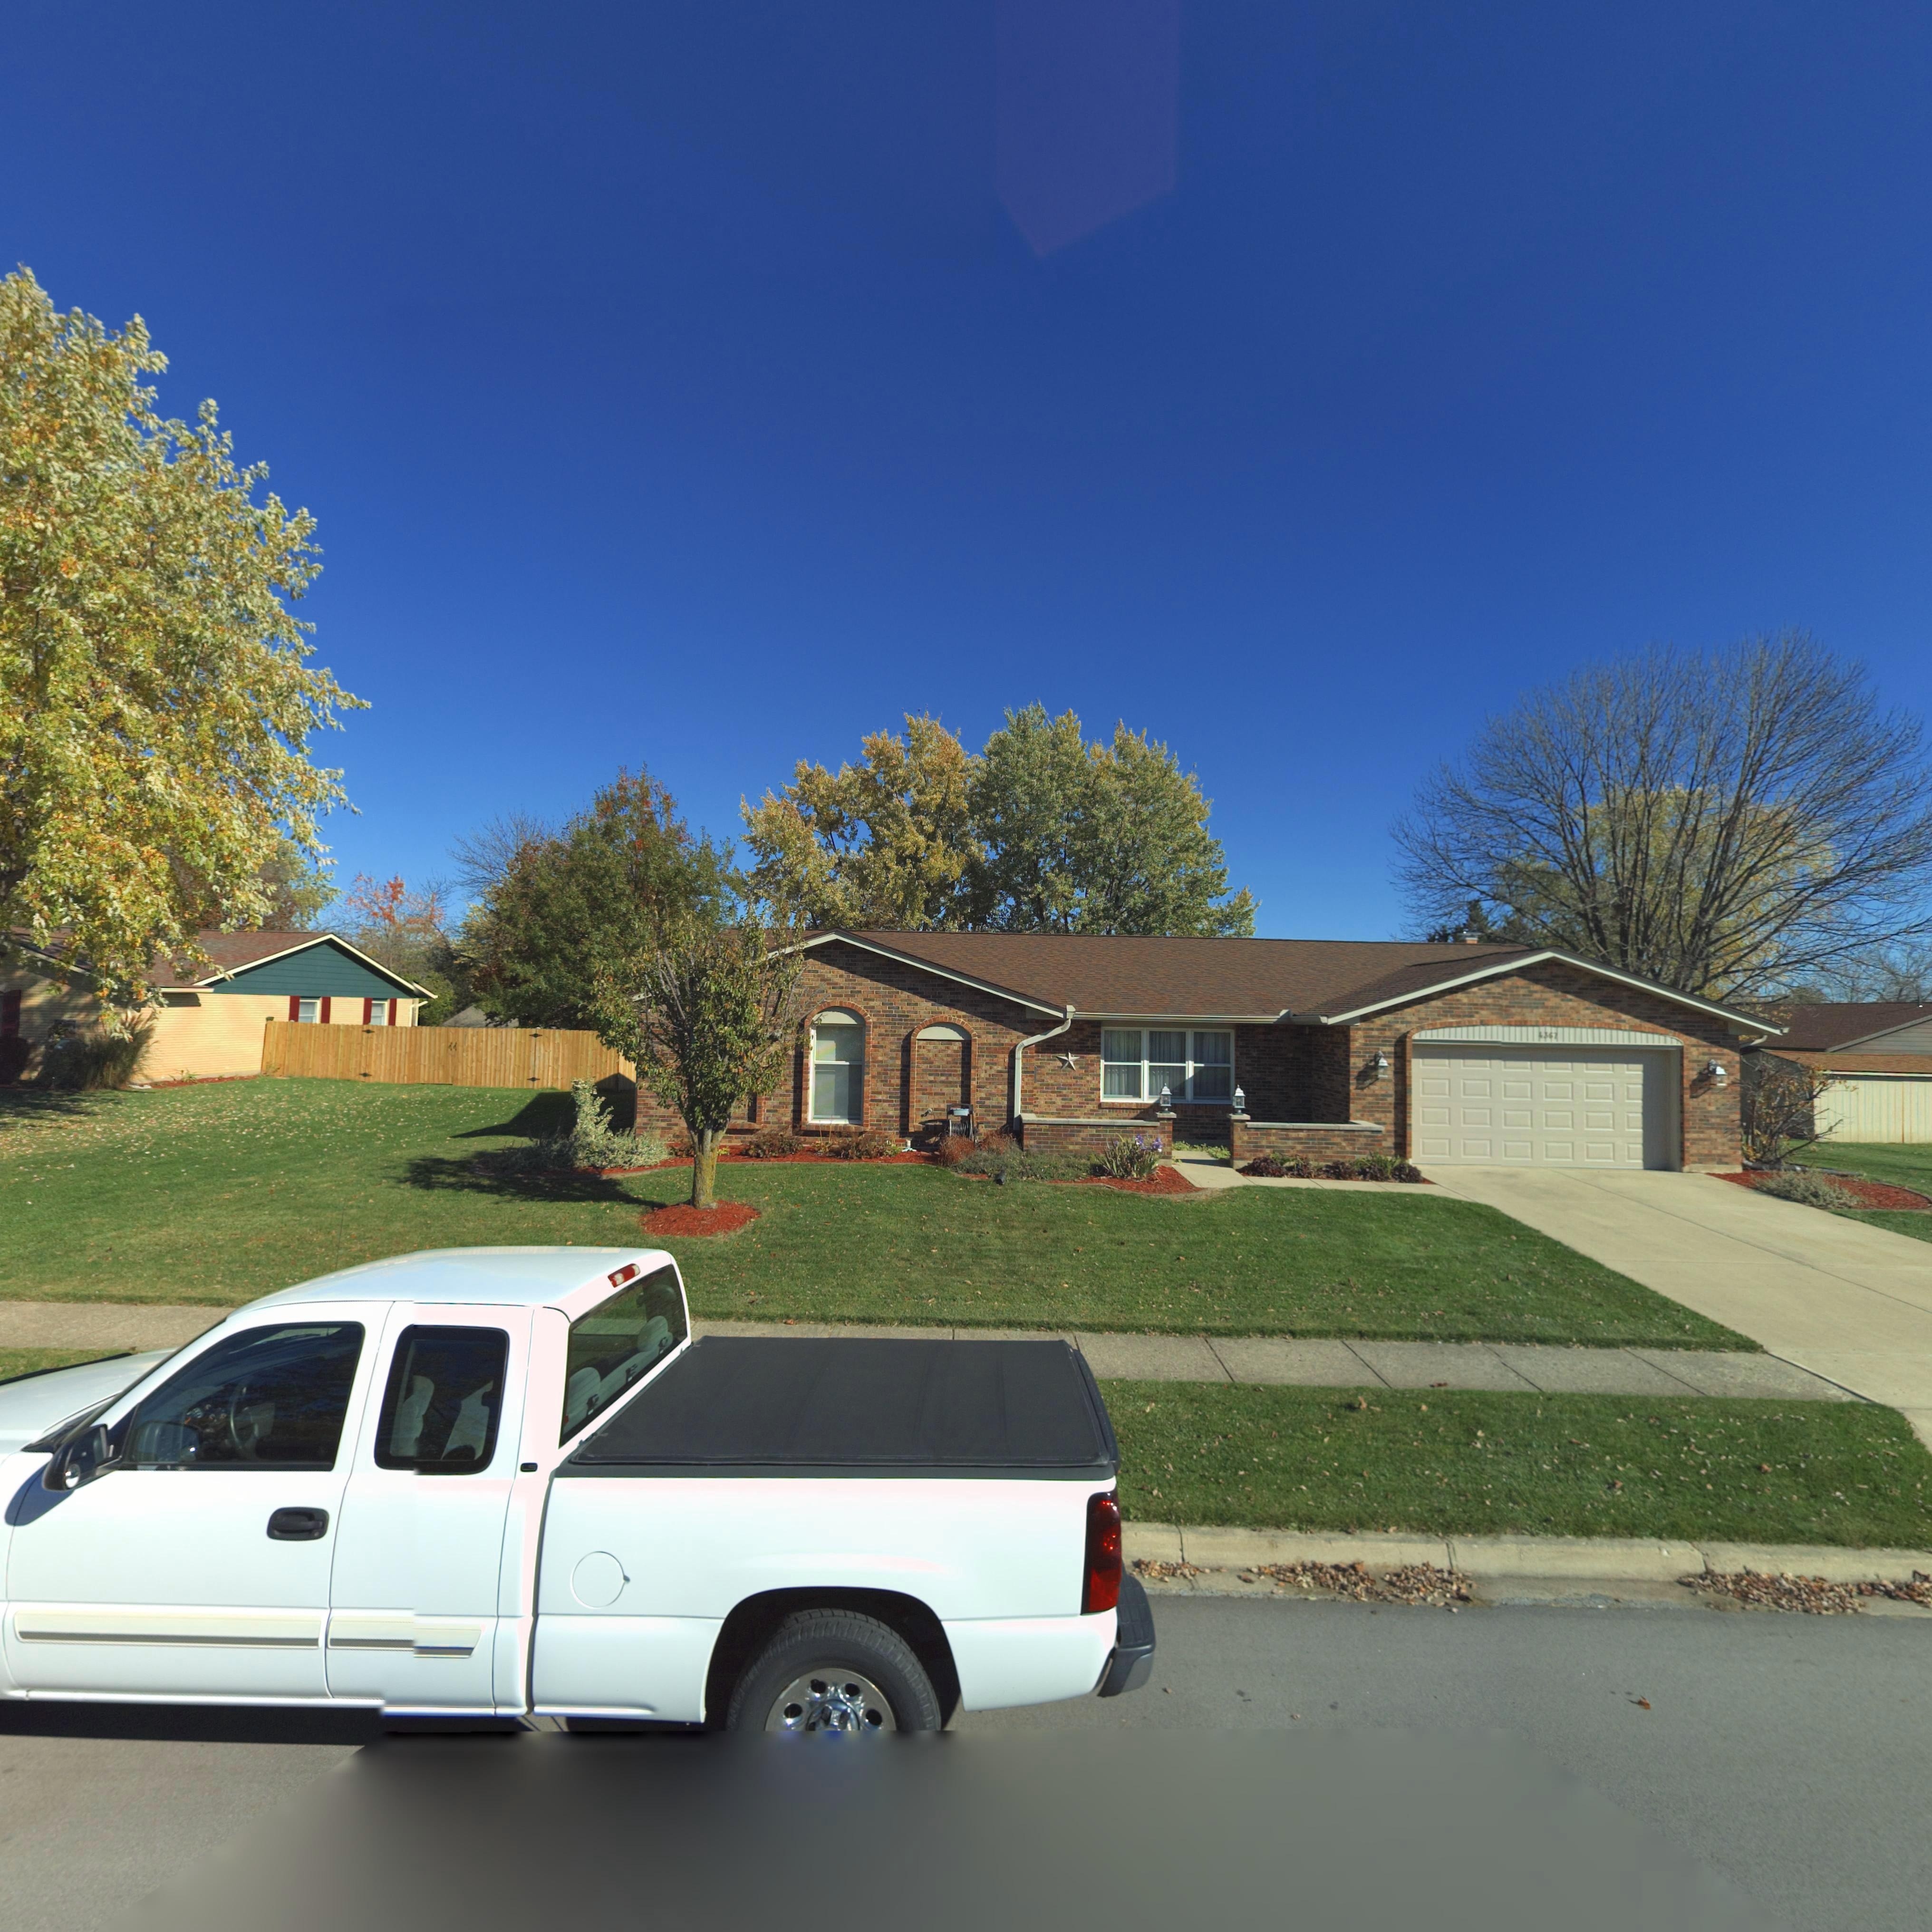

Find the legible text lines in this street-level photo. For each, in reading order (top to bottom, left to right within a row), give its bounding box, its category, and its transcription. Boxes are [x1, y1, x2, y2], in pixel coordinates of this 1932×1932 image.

[1537, 1031, 1559, 1040] StreetNumber: 4367